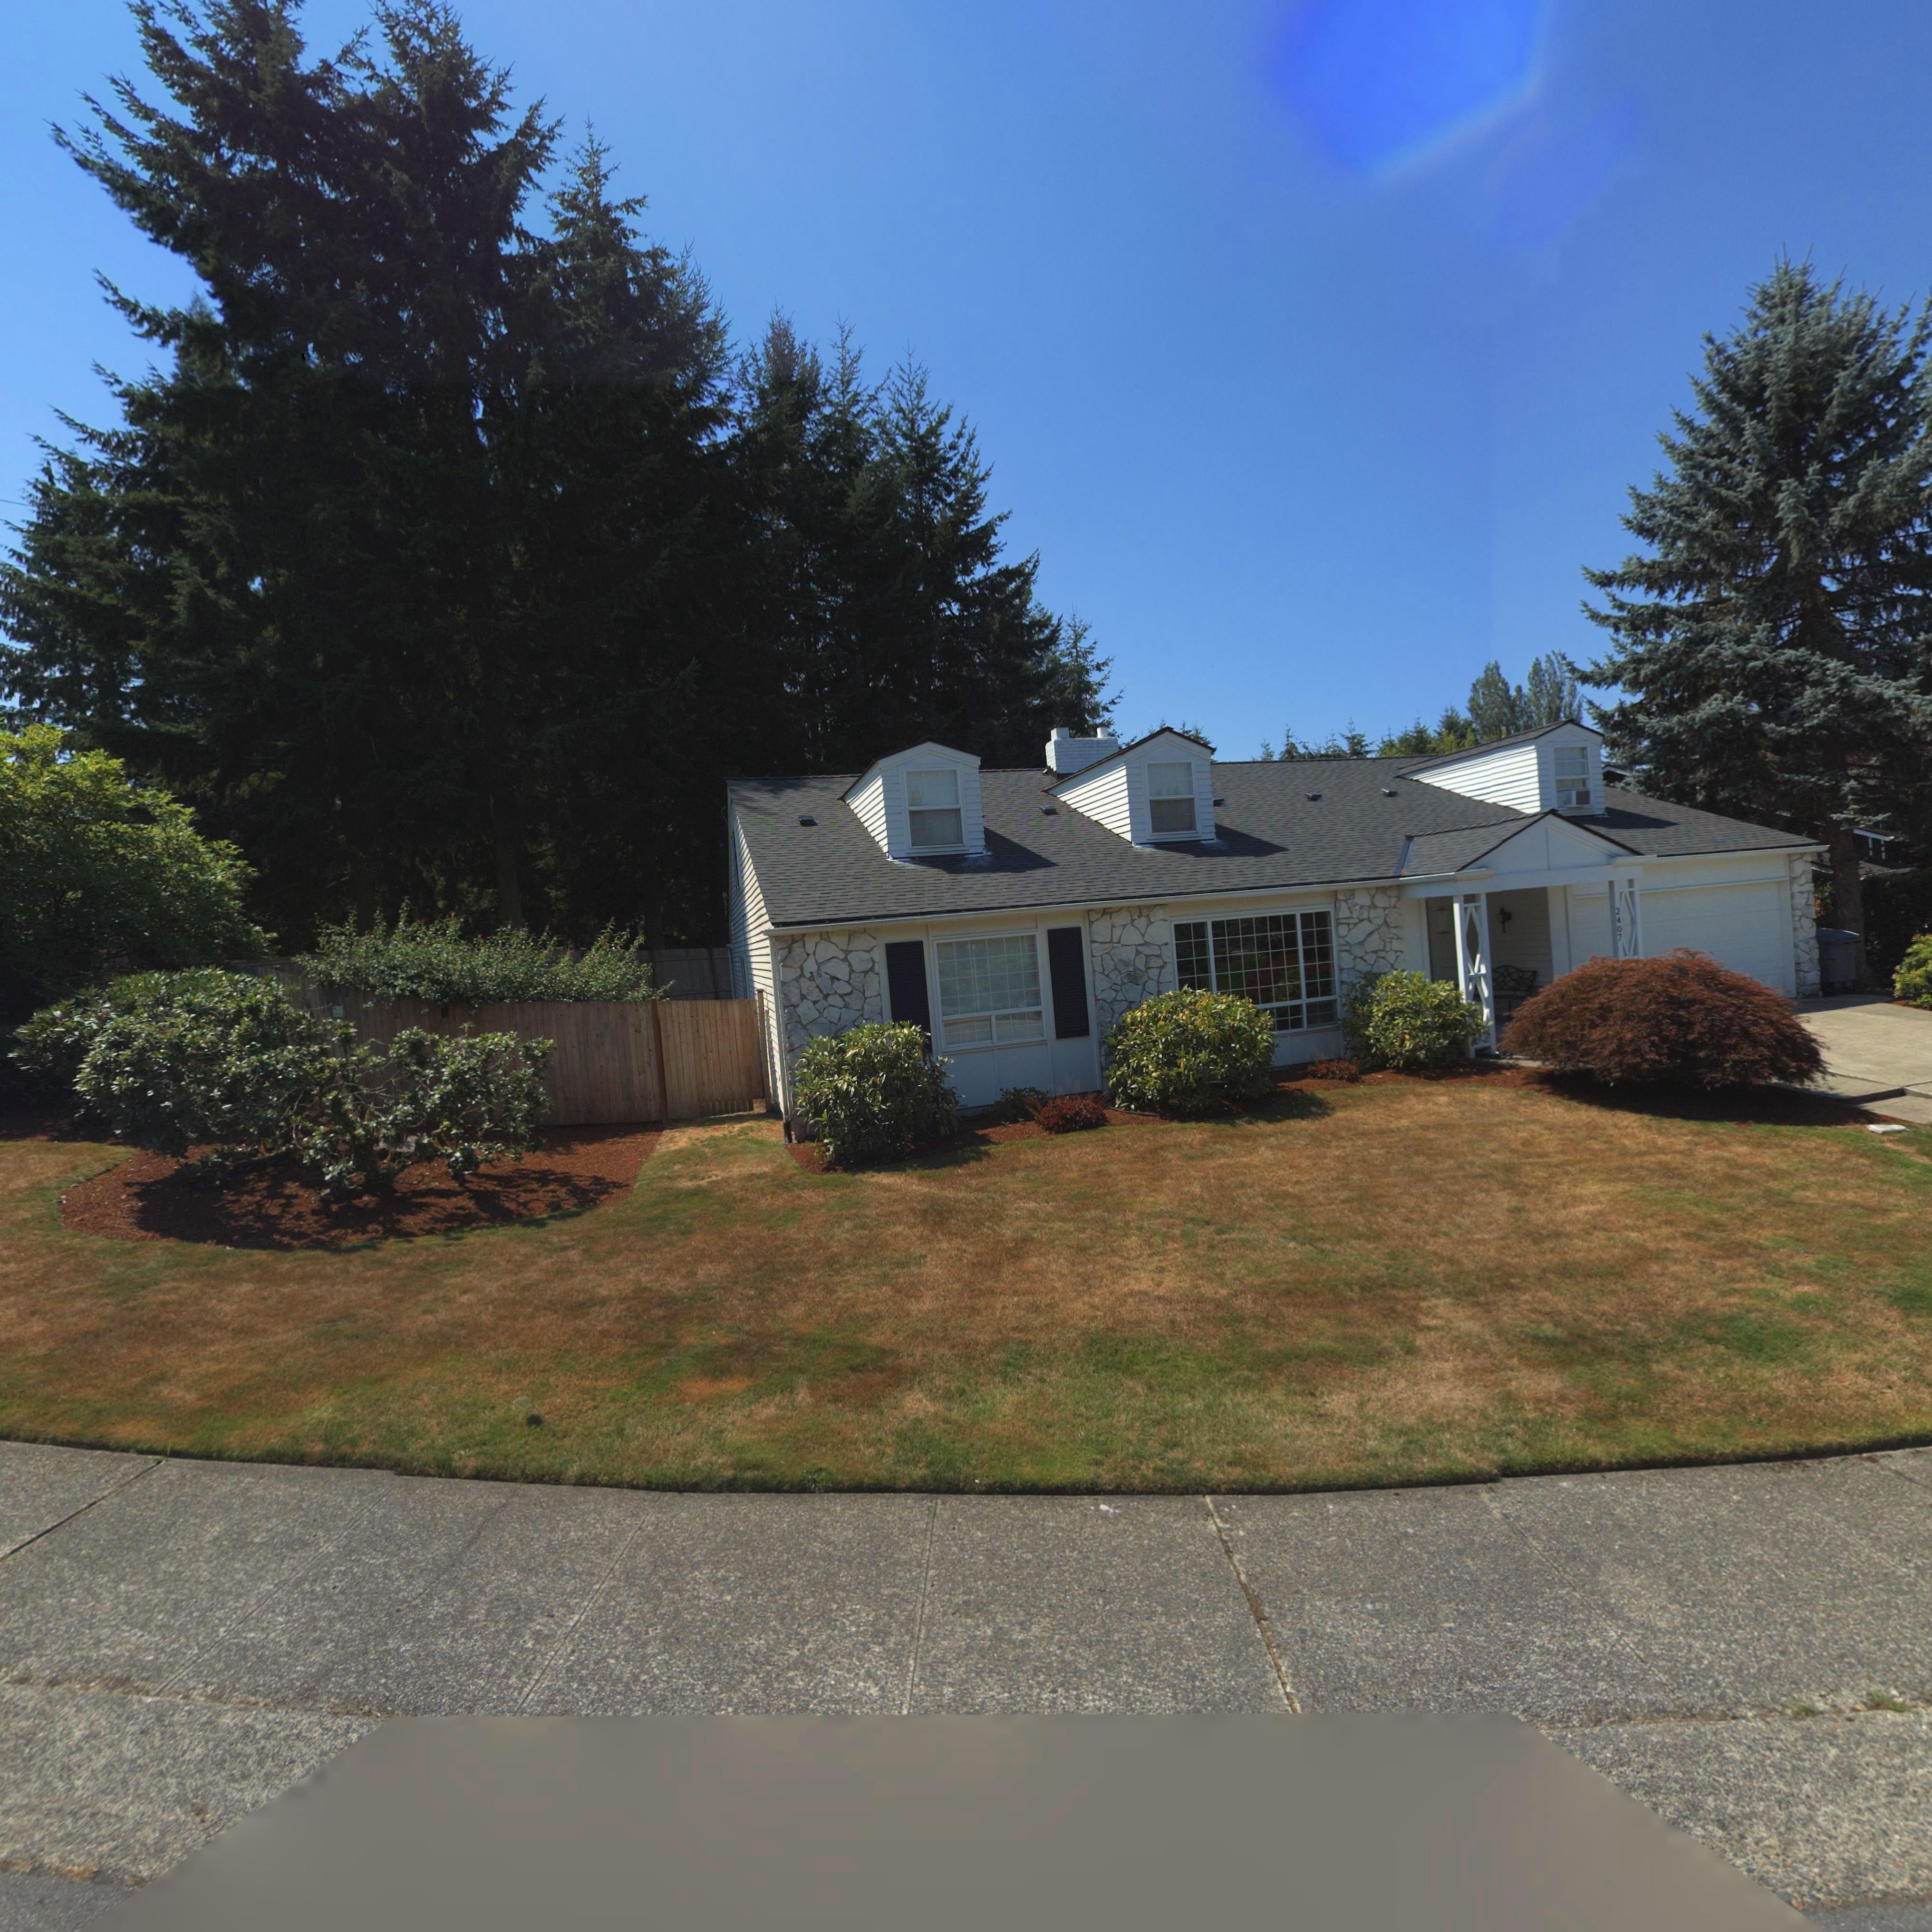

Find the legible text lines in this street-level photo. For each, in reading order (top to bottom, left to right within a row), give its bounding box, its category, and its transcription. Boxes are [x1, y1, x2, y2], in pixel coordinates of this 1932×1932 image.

[1616, 907, 1622, 942] StreetNumber: 2407